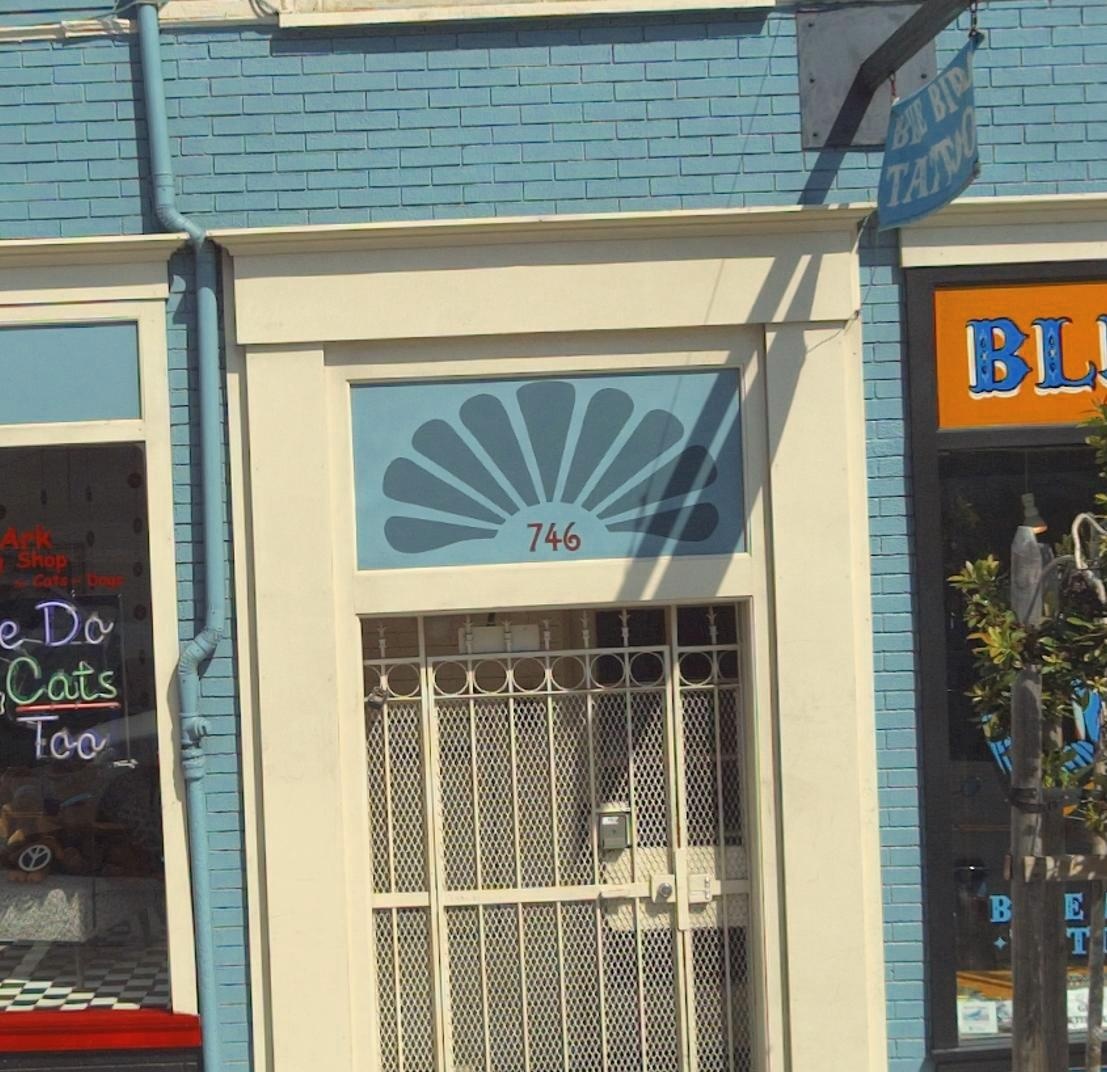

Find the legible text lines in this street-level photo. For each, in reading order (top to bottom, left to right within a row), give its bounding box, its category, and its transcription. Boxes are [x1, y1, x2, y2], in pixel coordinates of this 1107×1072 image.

[925, 70, 962, 128] None: BI
[883, 151, 931, 212] None: TA
[958, 314, 1102, 400] None: BL
[2, 522, 52, 551] None: Ark
[525, 520, 584, 556] StreetNumber: 746
[15, 549, 71, 574] None: Shop
[29, 569, 126, 591] None: Cats - Dogs
[35, 598, 118, 648] None: Do
[2, 652, 126, 705] None: Cats
[11, 712, 116, 765] None: Too
[985, 893, 1014, 922] None: B
[1060, 891, 1087, 921] None: E
[1065, 925, 1093, 956] None: T